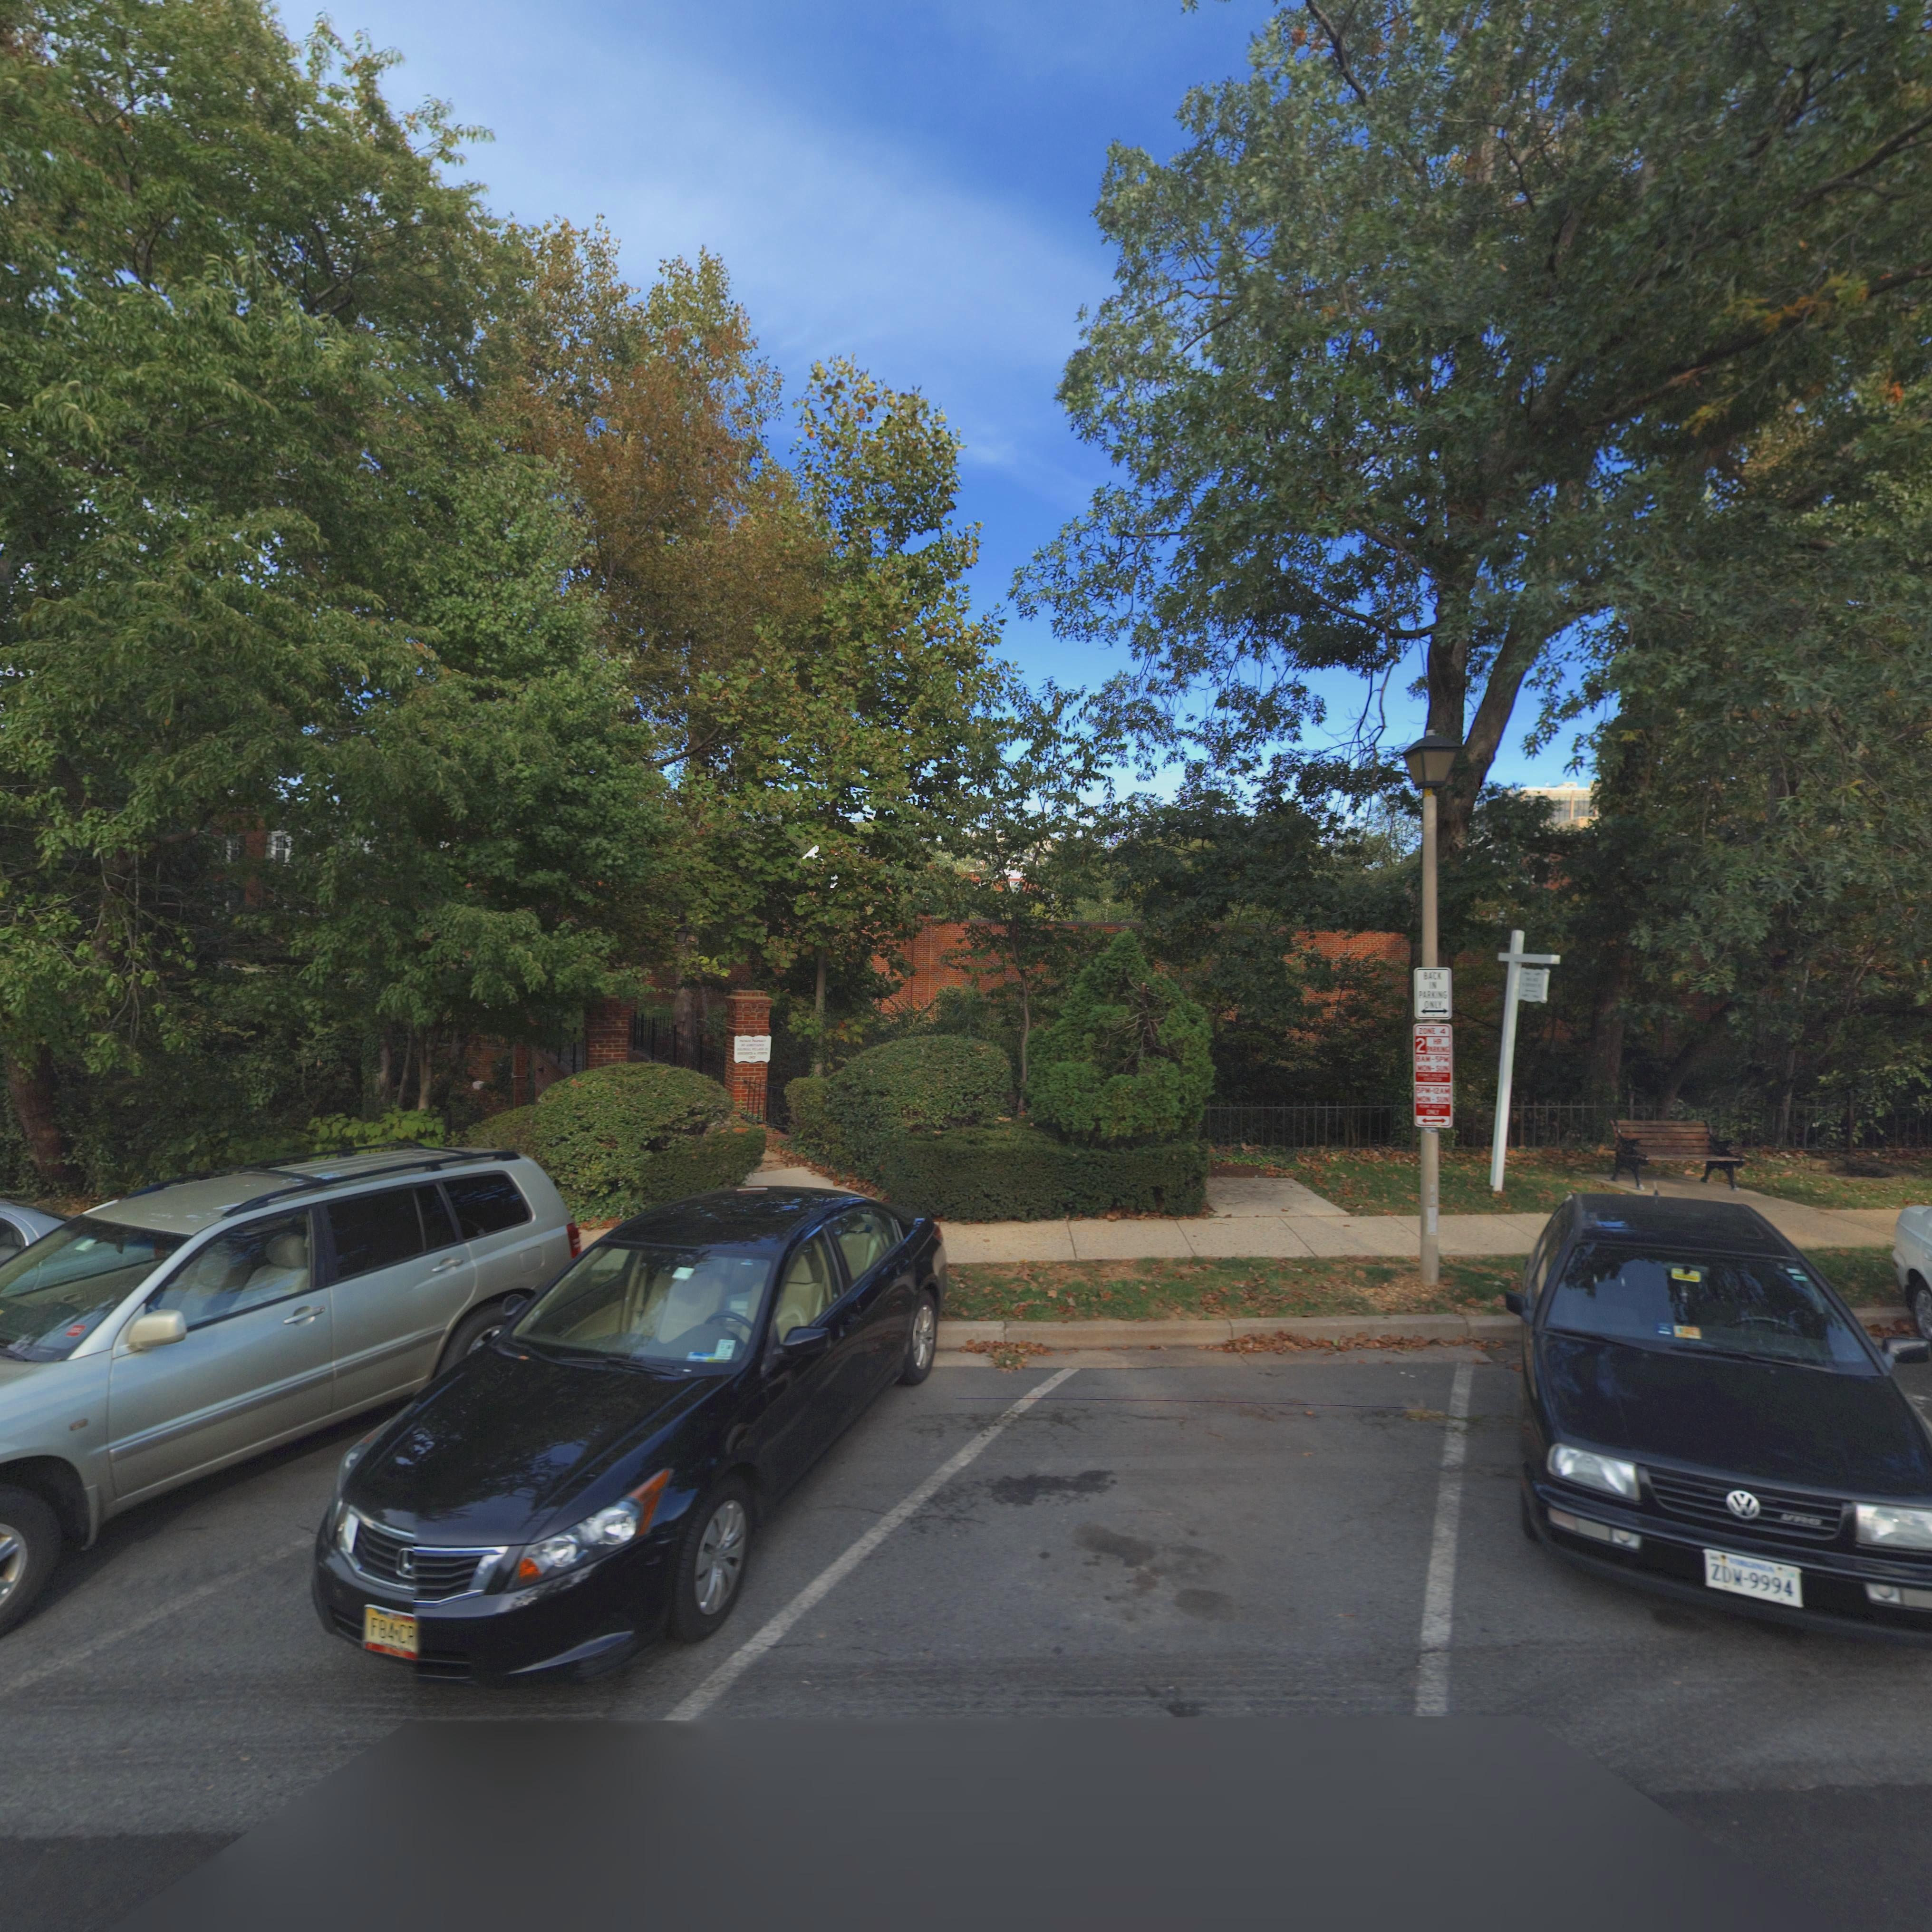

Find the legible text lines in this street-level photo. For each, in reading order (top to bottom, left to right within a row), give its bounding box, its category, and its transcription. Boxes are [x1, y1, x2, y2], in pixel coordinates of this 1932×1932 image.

[1422, 971, 1442, 980] None: BACK
[1428, 981, 1437, 990] None: IN
[1418, 991, 1448, 999] None: PARKING
[1424, 1000, 1443, 1009] None: ONLY
[1418, 1027, 1446, 1034] None: ZONE 4
[1415, 1037, 1426, 1053] None: 2
[1432, 1038, 1442, 1045] None: HR
[1426, 1045, 1450, 1053] None: PARKING
[1416, 1055, 1449, 1063] None: 8AM-5PM
[1416, 1065, 1449, 1072] None: MON-SUN
[1416, 1087, 1450, 1094] None: 5PM-12AM
[1415, 1096, 1450, 1102] None: MON-SUN
[1426, 1109, 1440, 1115] None: ONLY
[1780, 1513, 1824, 1526] None: VRG
[1710, 1562, 1794, 1598] None: ZDW*9994
[370, 1616, 415, 1648] None: F84*CR